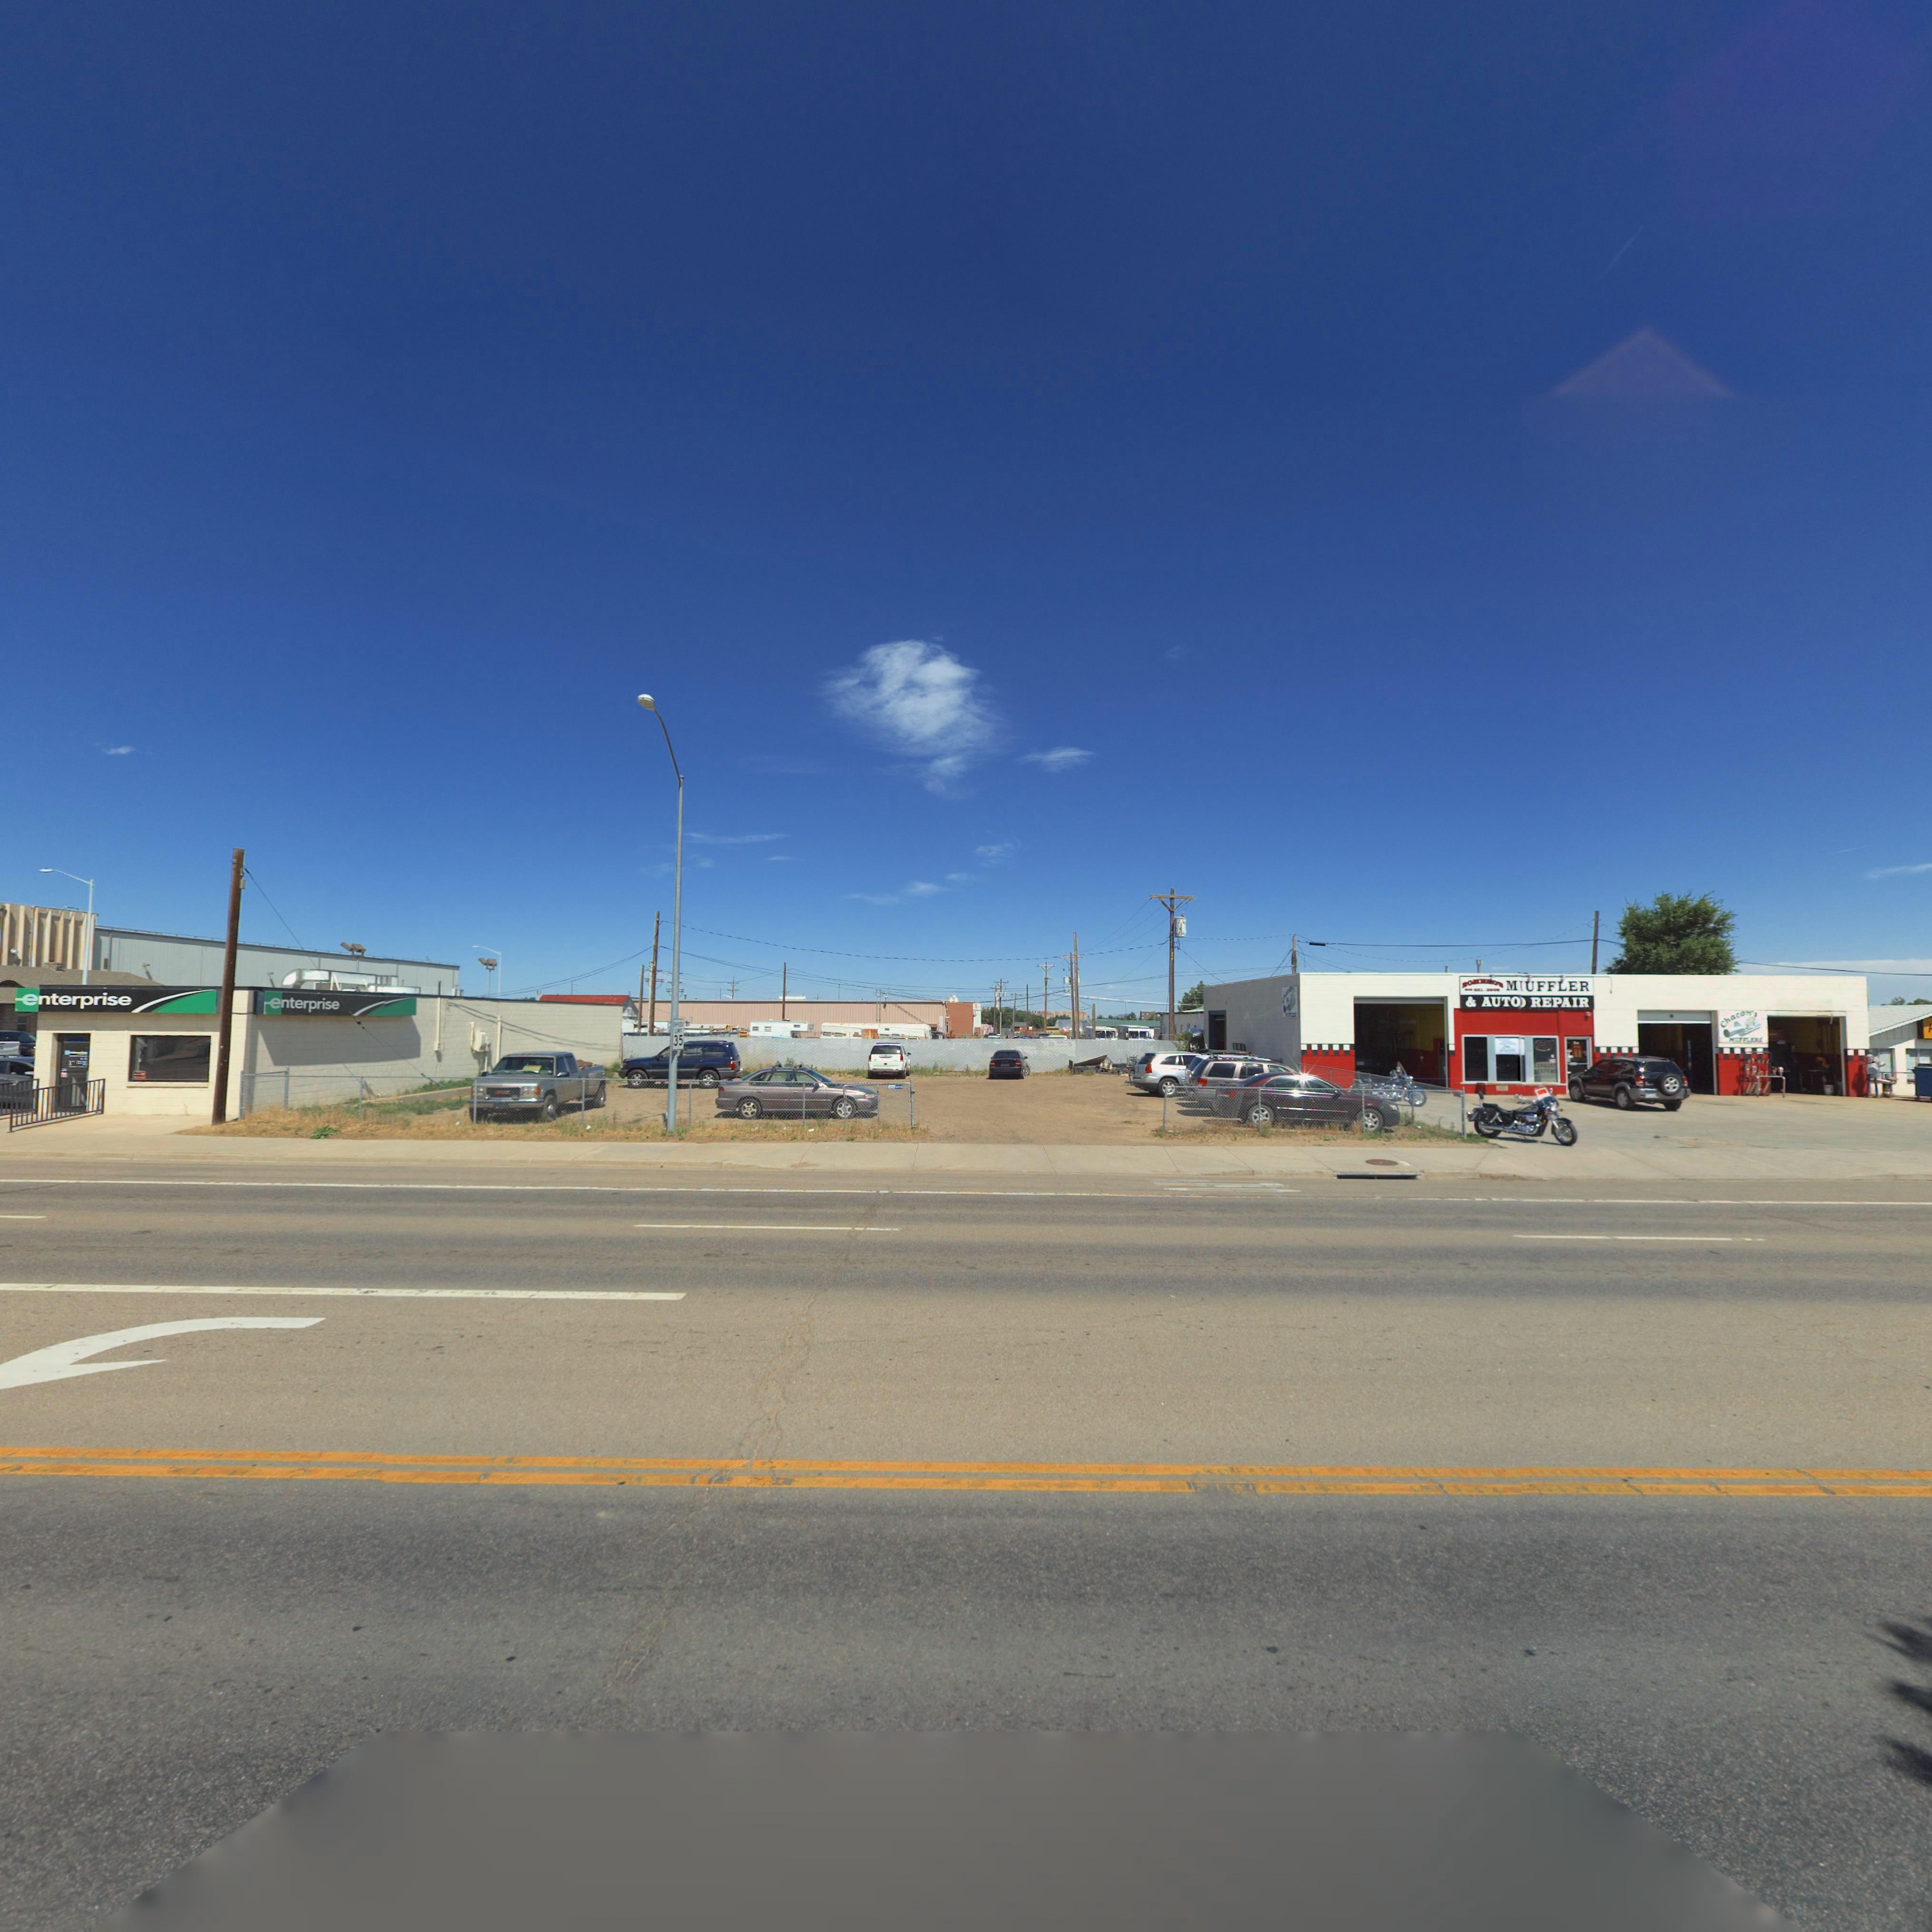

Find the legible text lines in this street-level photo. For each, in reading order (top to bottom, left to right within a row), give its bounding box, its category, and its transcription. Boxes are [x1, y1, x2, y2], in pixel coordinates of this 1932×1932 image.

[1461, 978, 1503, 989] BusinessName: RO***O*
[1505, 980, 1590, 992] BusinessName: M*UFFLER
[1465, 996, 1590, 1007] BusinessName: & AUTO* REPAIR
[1719, 1010, 1758, 1028] BusinessName: Chacon's
[1729, 1037, 1763, 1043] BusinessName: MUFFLERS